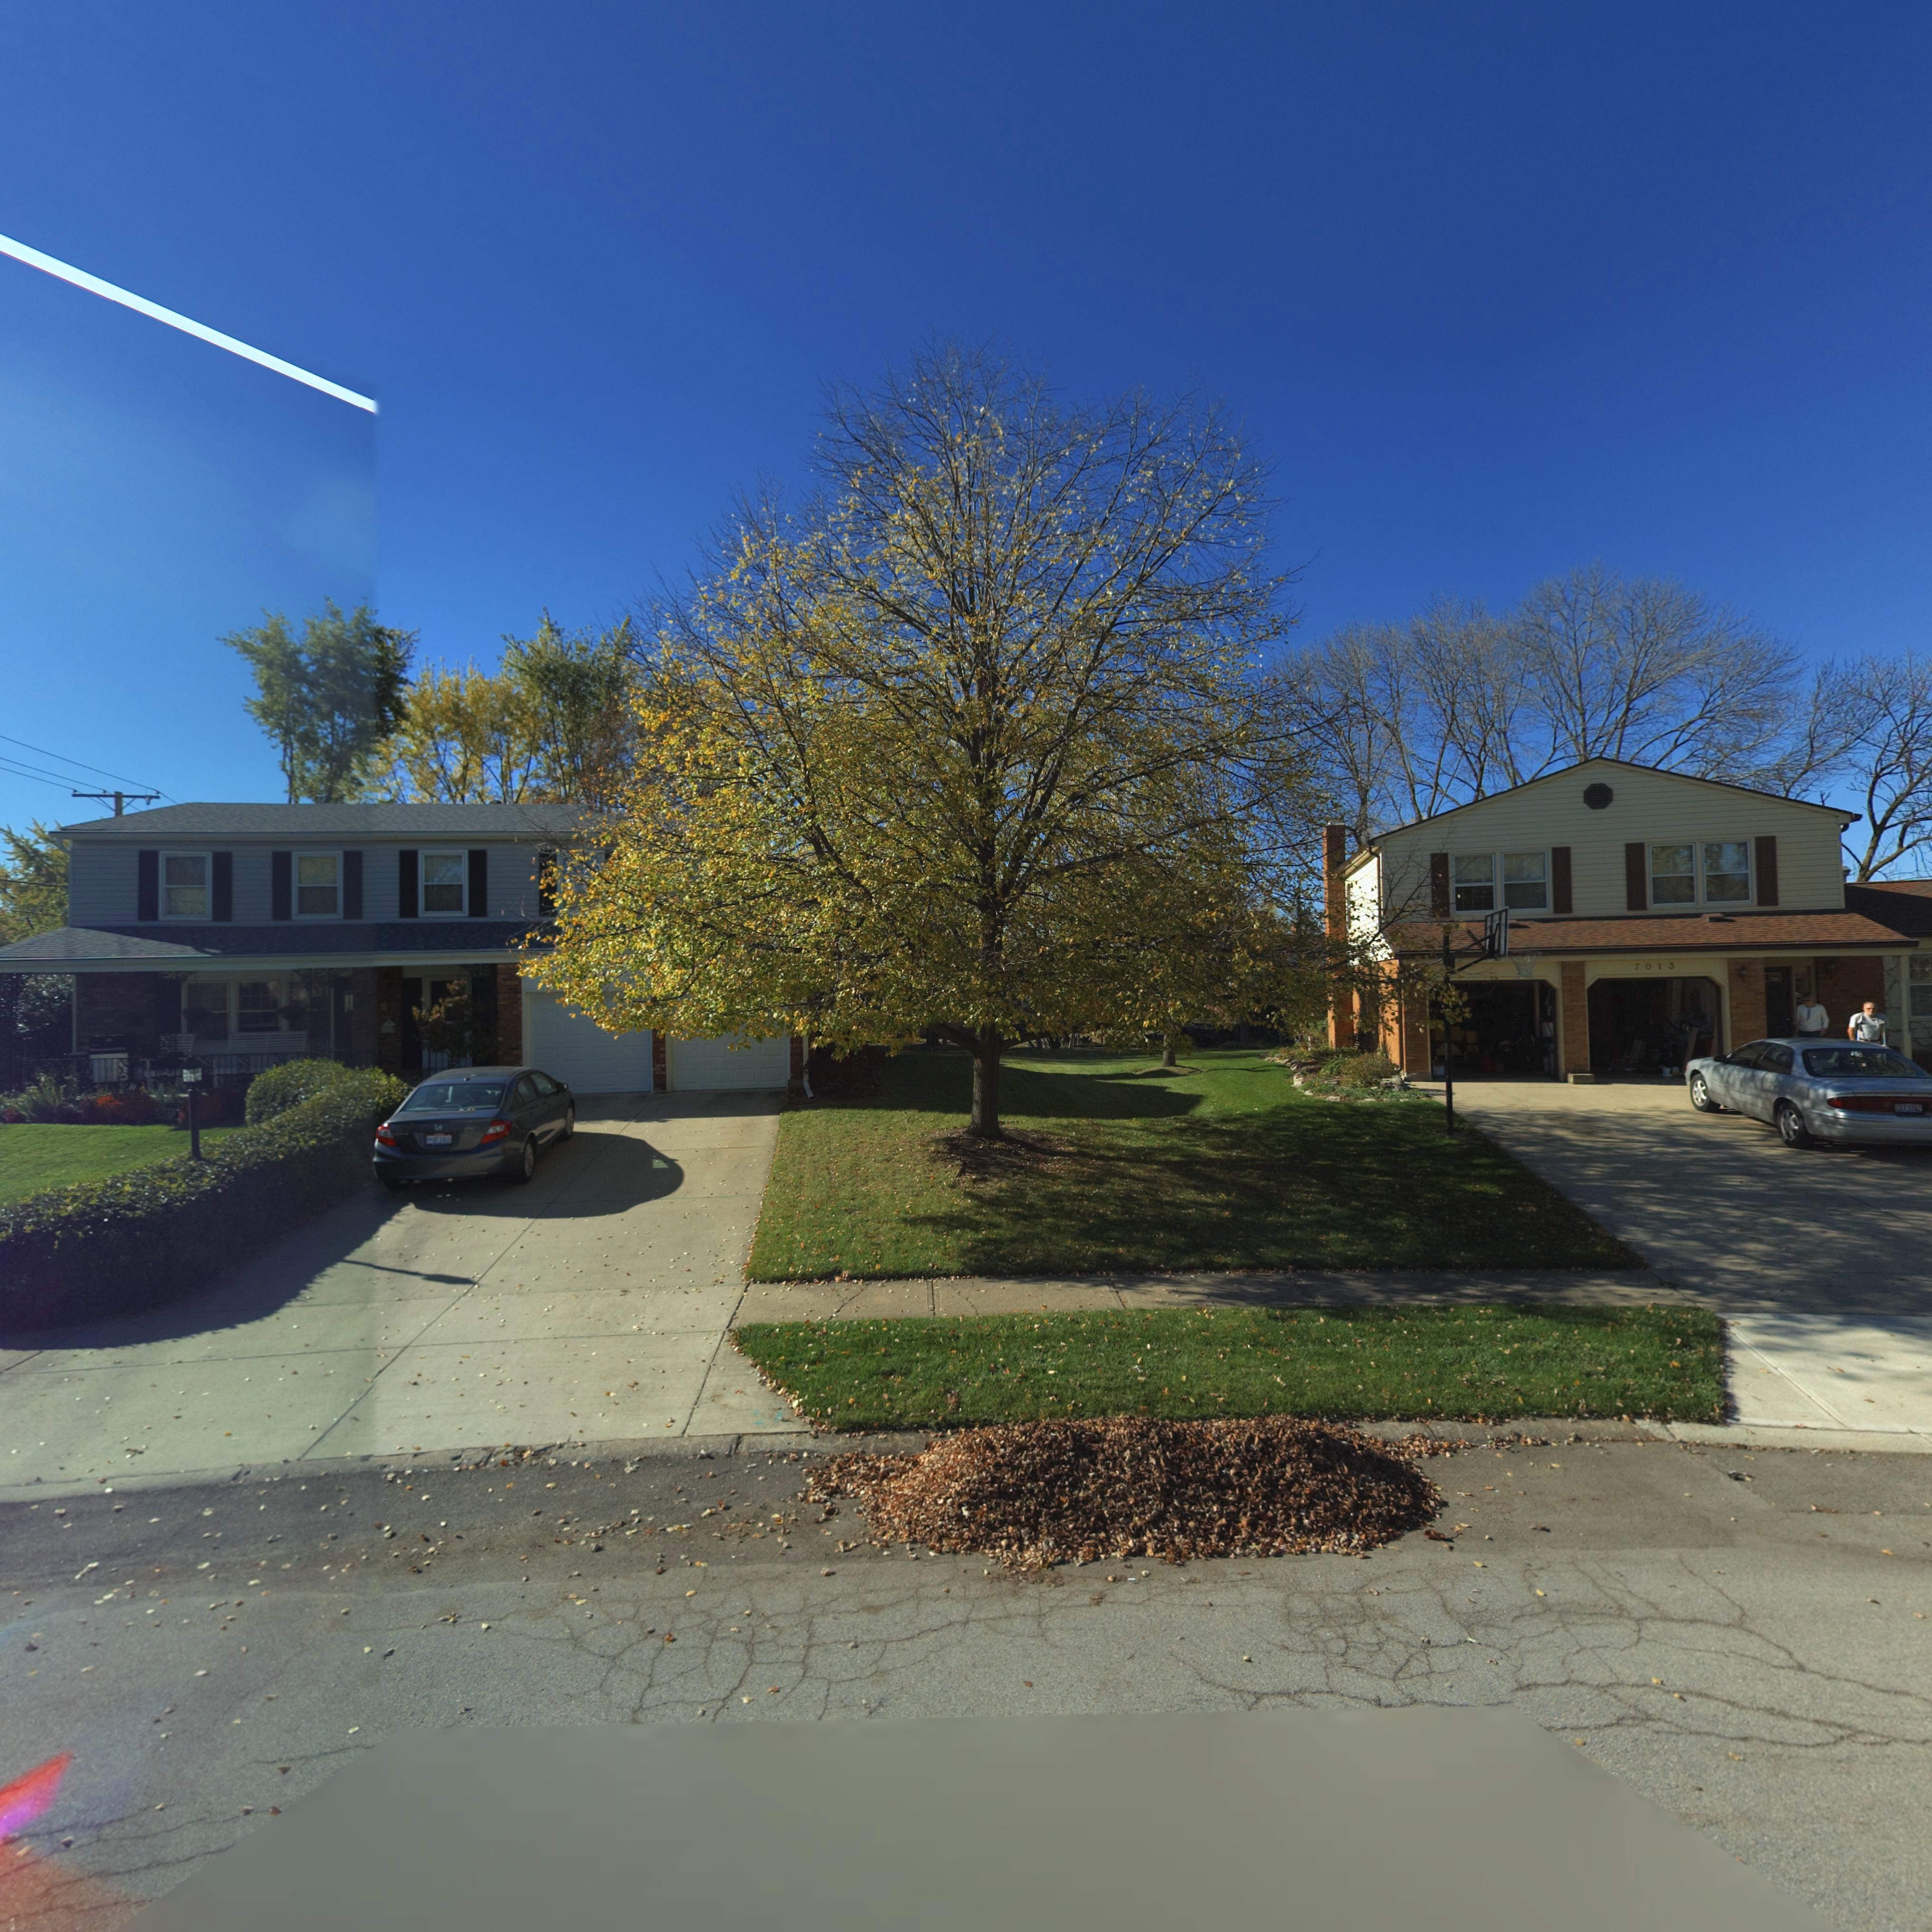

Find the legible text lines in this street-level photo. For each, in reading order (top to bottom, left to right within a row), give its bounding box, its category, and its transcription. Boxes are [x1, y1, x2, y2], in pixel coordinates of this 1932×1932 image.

[1633, 961, 1676, 972] StreetNumber: 7013